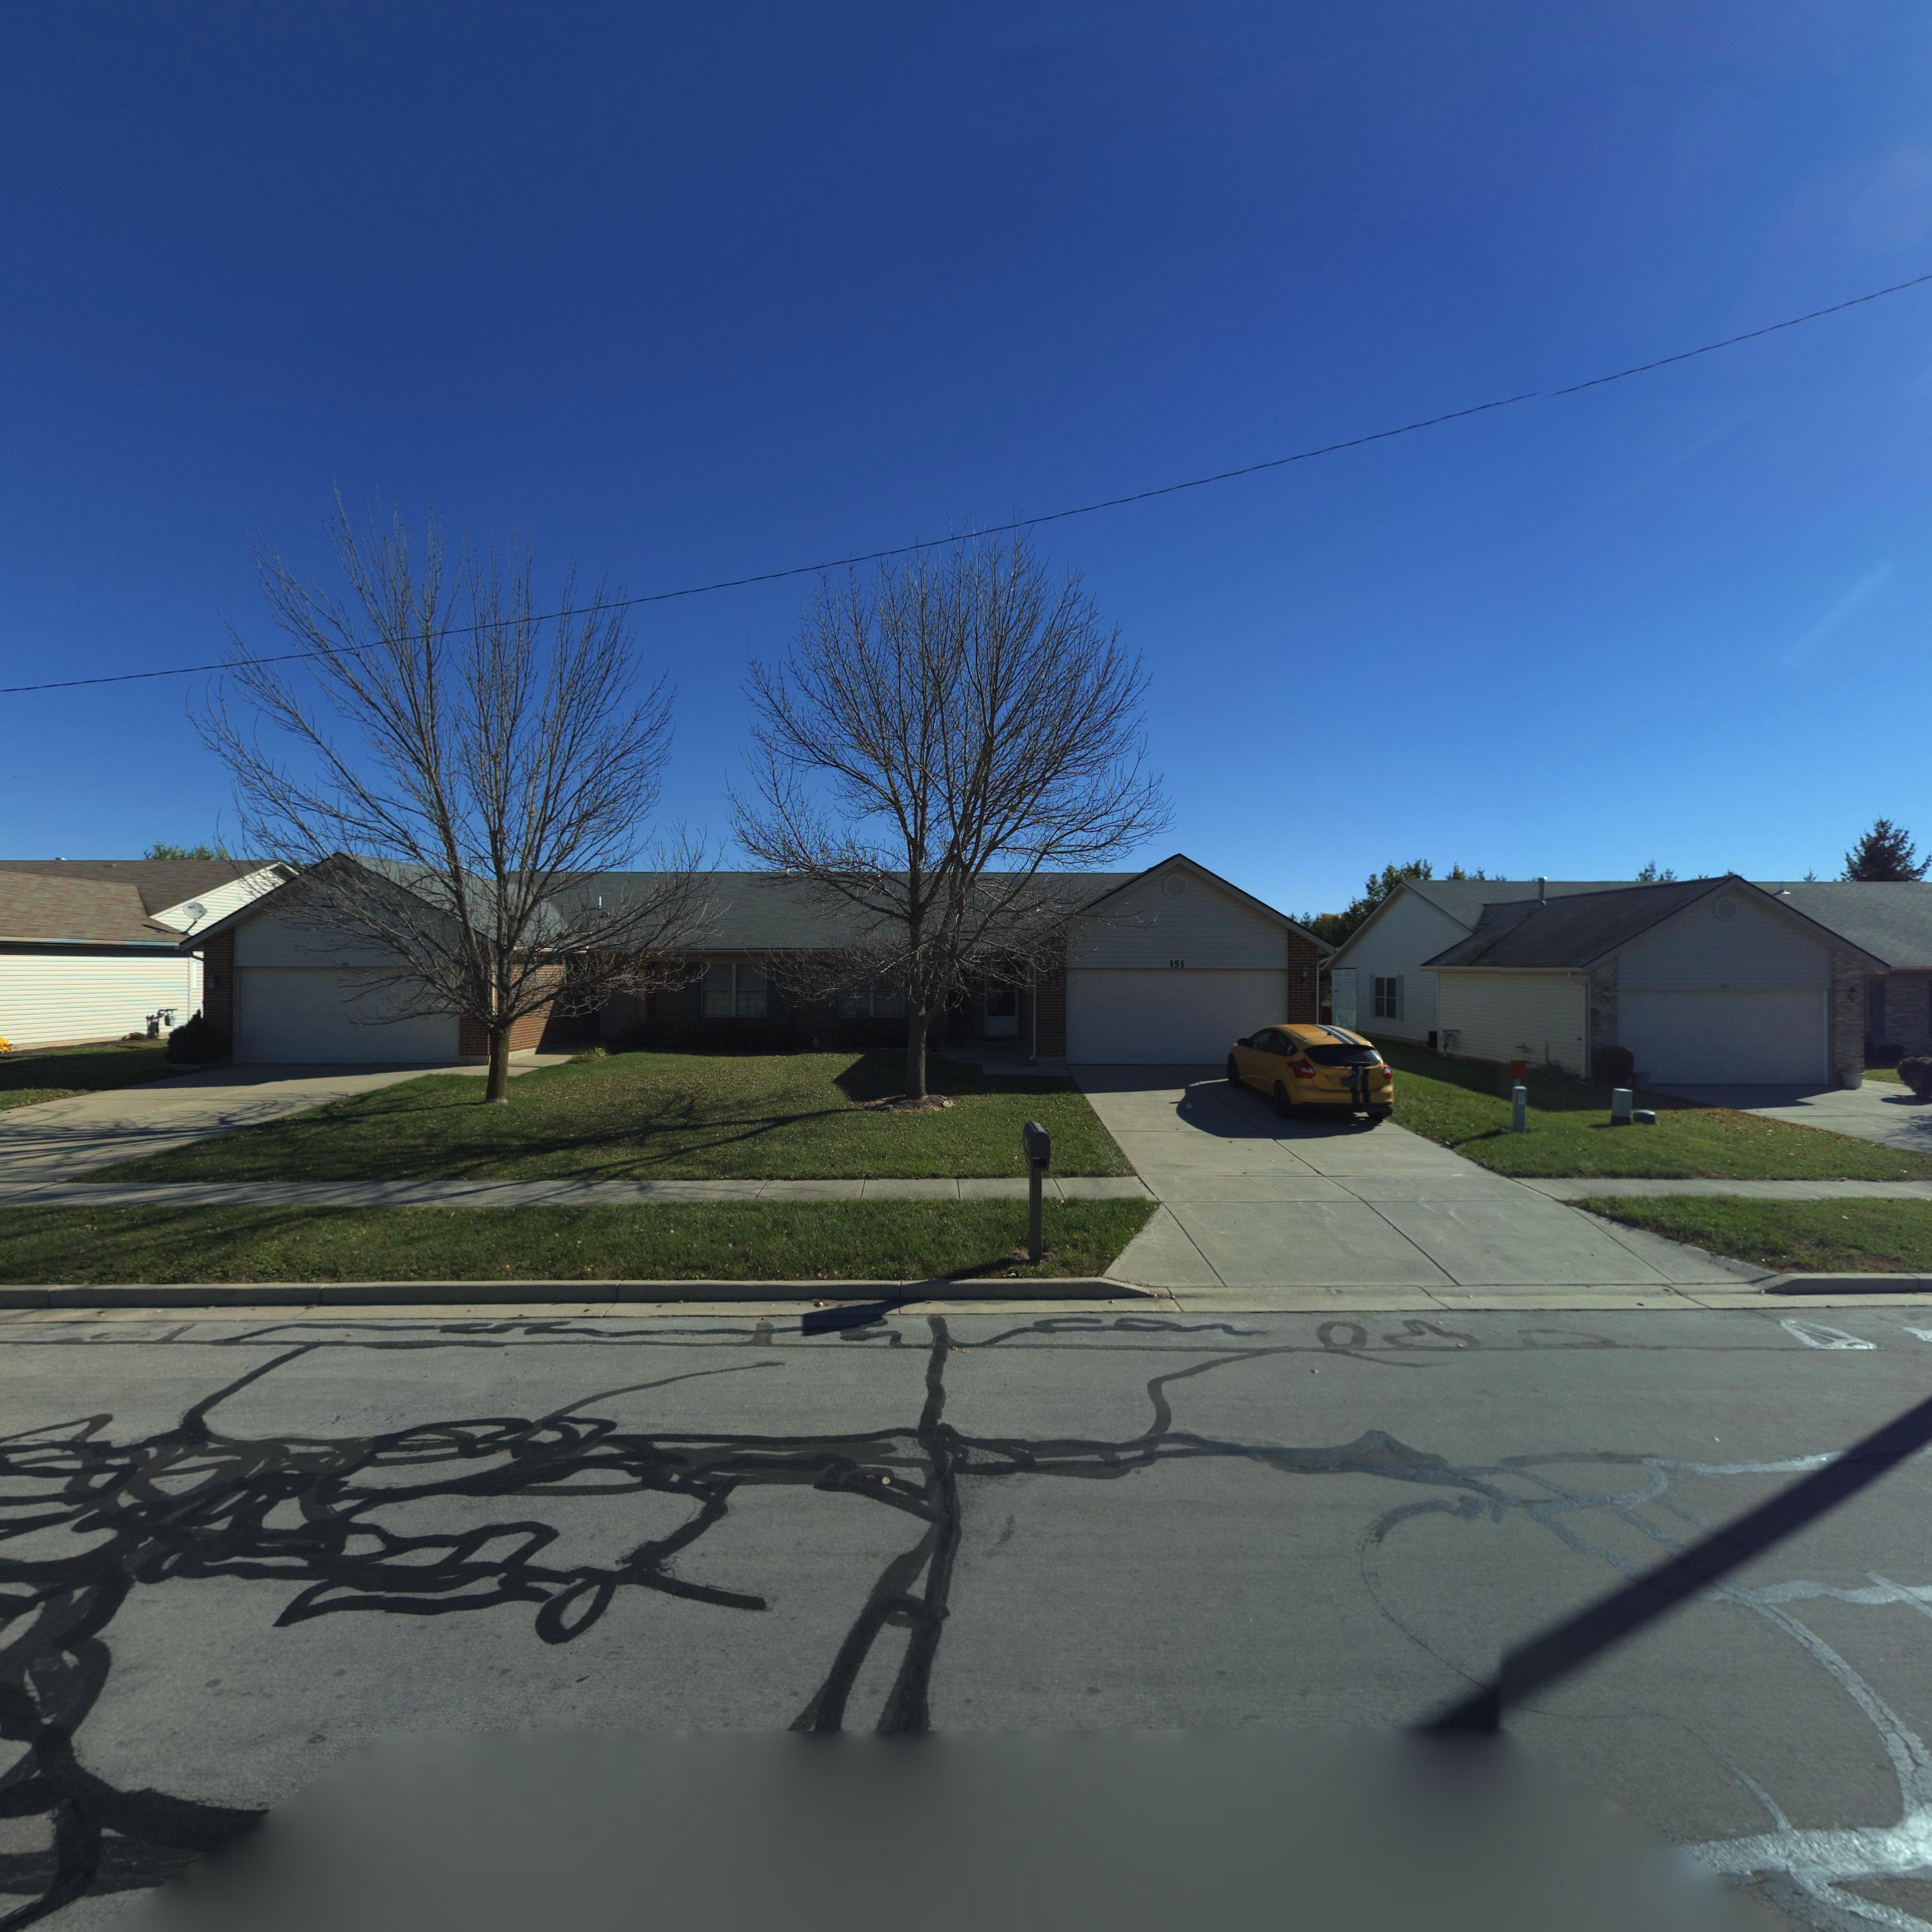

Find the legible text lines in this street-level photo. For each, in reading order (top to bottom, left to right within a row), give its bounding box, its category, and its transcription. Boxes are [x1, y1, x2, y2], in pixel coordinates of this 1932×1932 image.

[1169, 959, 1184, 968] StreetNumber: 151